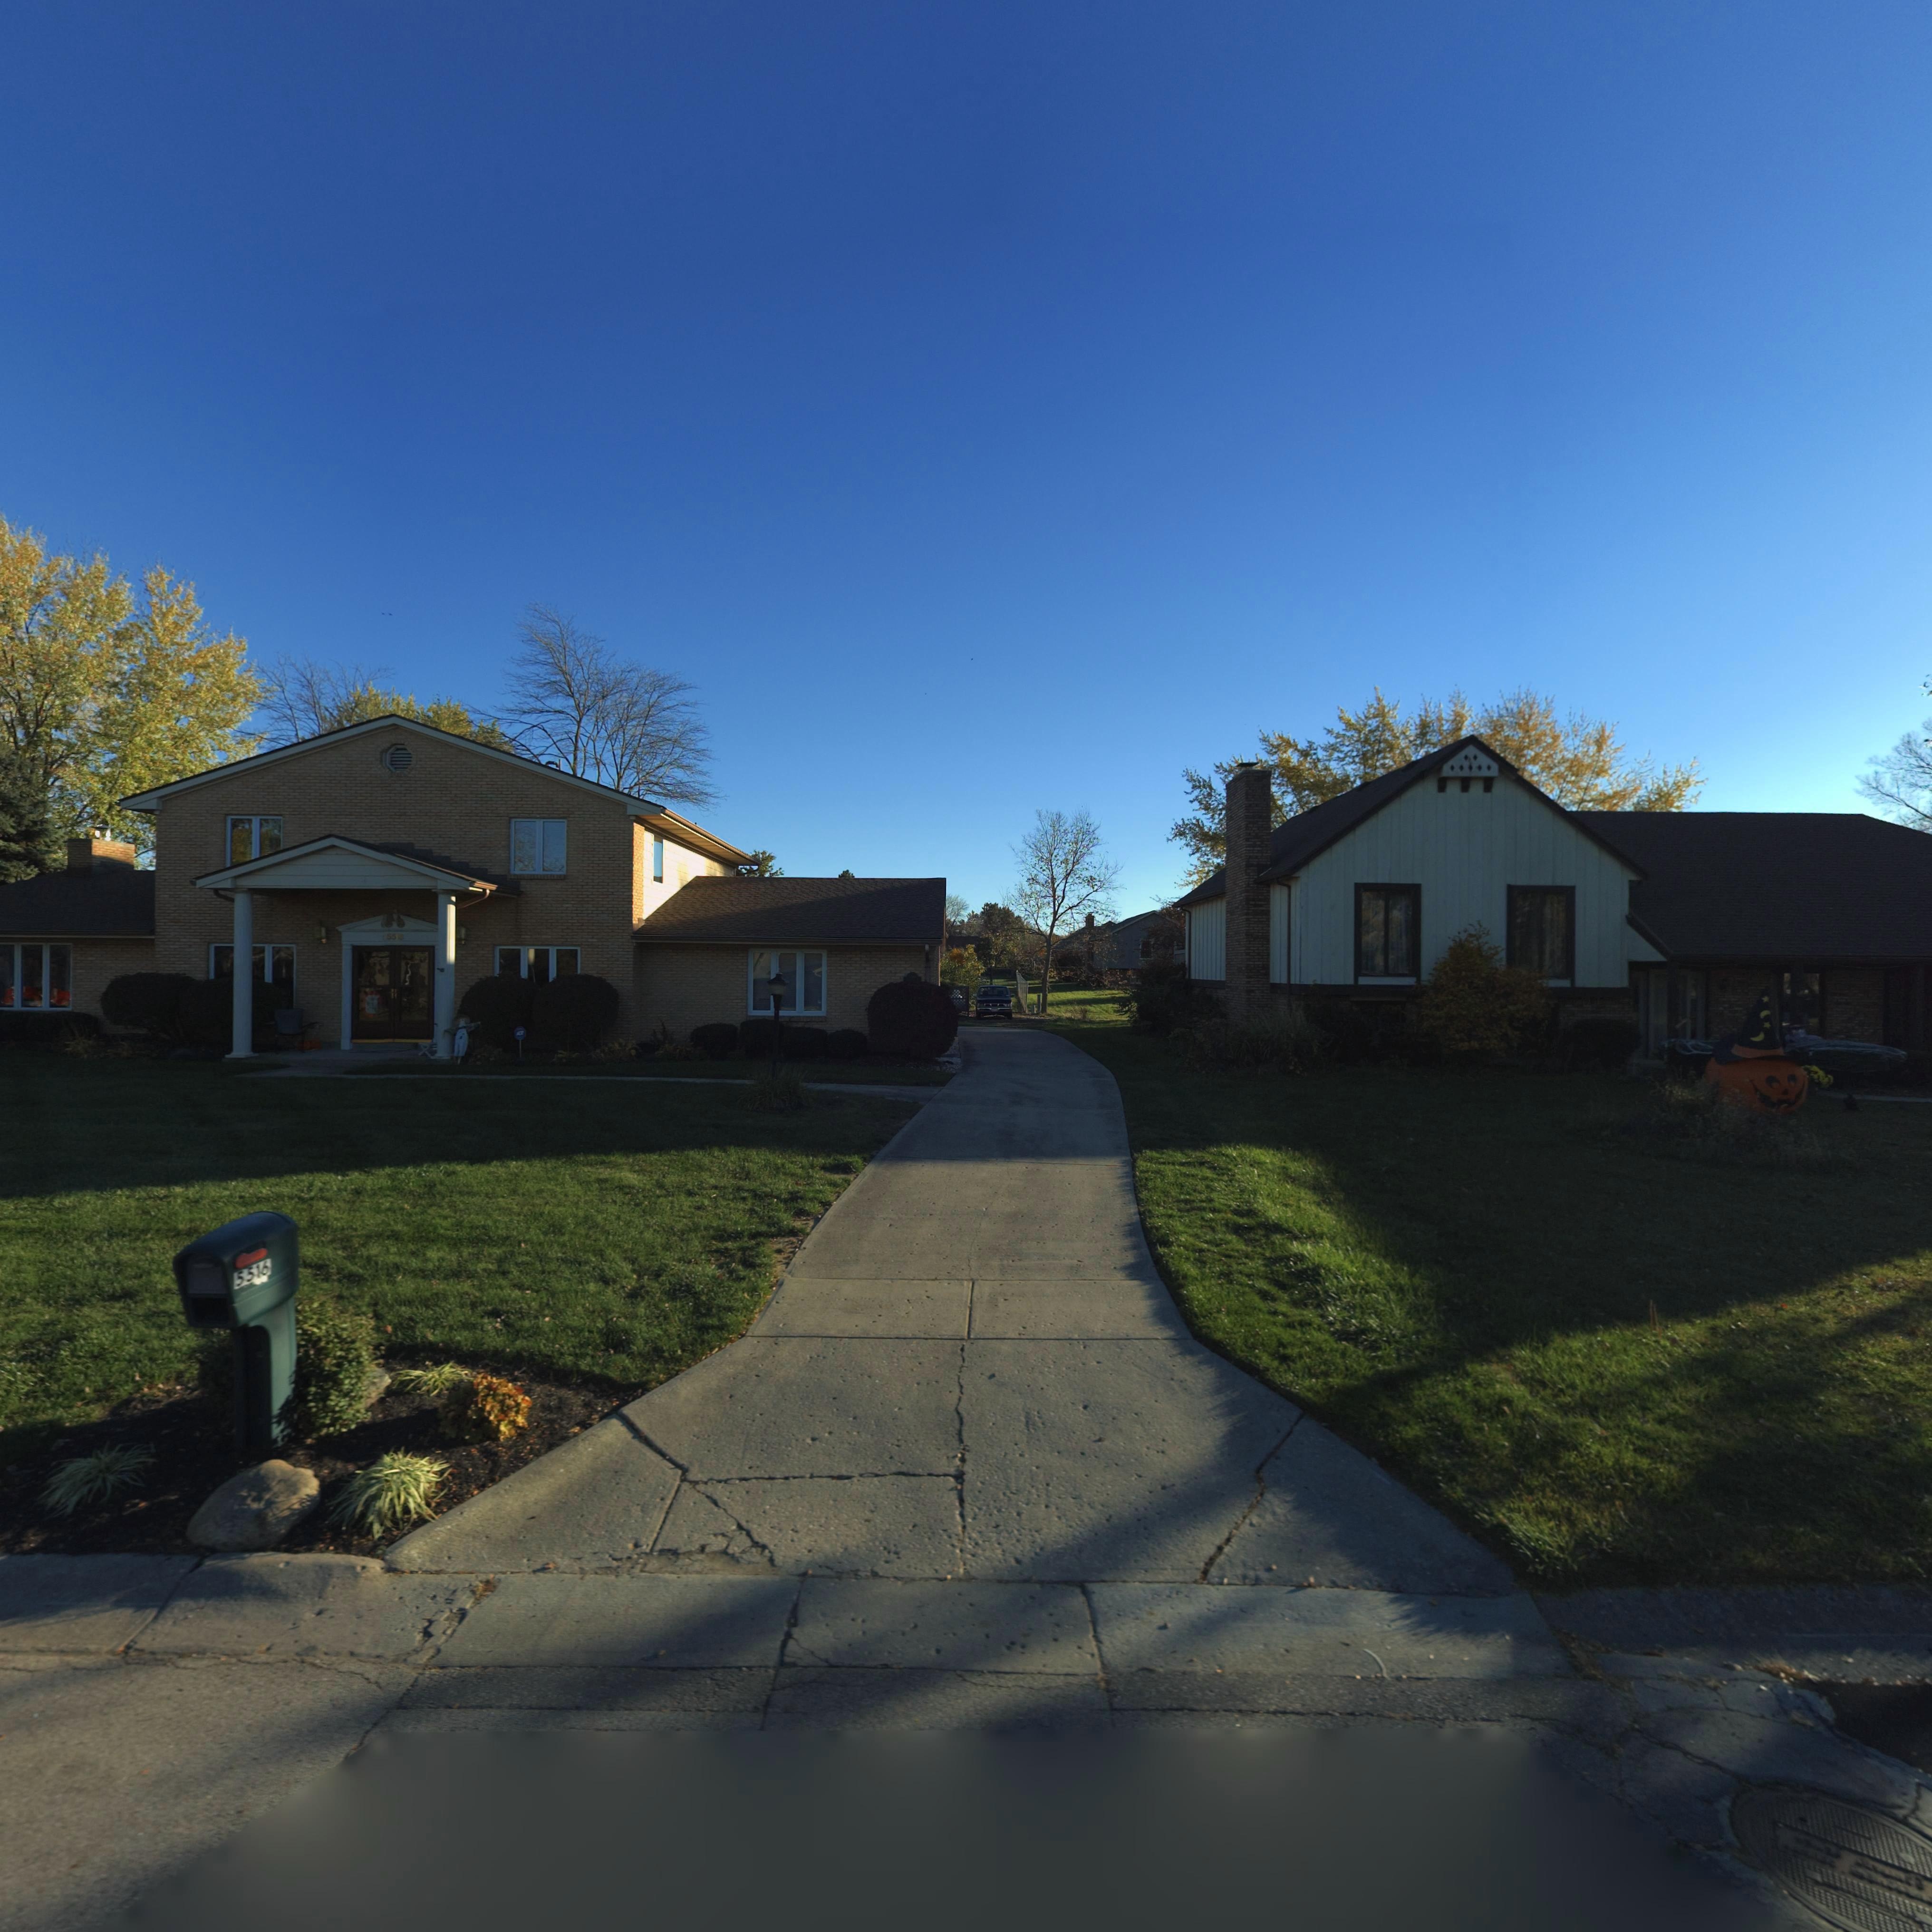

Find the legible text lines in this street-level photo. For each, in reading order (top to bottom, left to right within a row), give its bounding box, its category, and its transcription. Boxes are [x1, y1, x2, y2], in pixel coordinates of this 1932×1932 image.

[385, 932, 405, 941] StreetNumber: 55**
[235, 1258, 270, 1289] StreetNumber: 5516